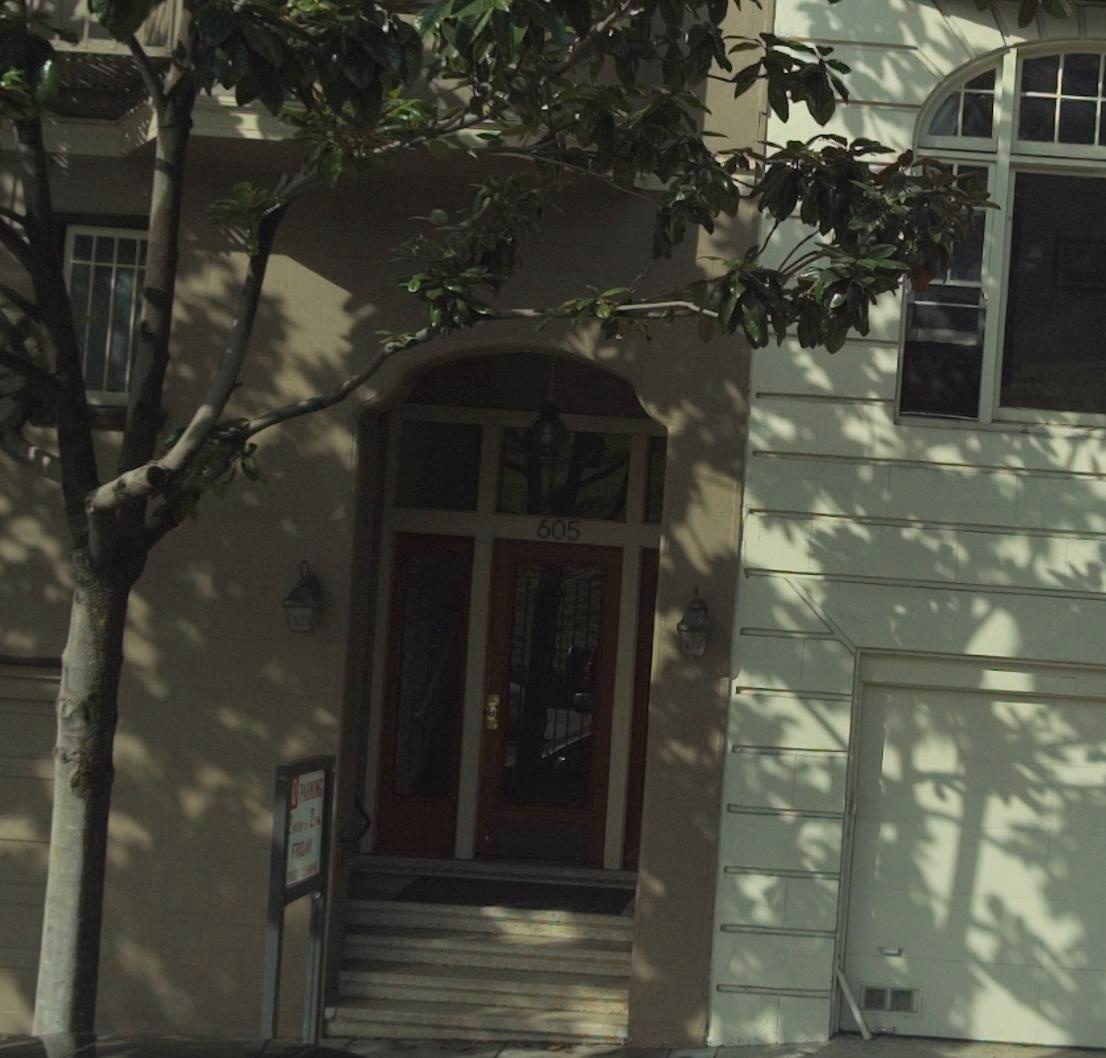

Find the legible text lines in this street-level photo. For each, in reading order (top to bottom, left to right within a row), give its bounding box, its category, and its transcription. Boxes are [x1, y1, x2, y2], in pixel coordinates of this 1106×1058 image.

[534, 516, 584, 544] StreetNumber: 605
[307, 805, 317, 831] None: 2